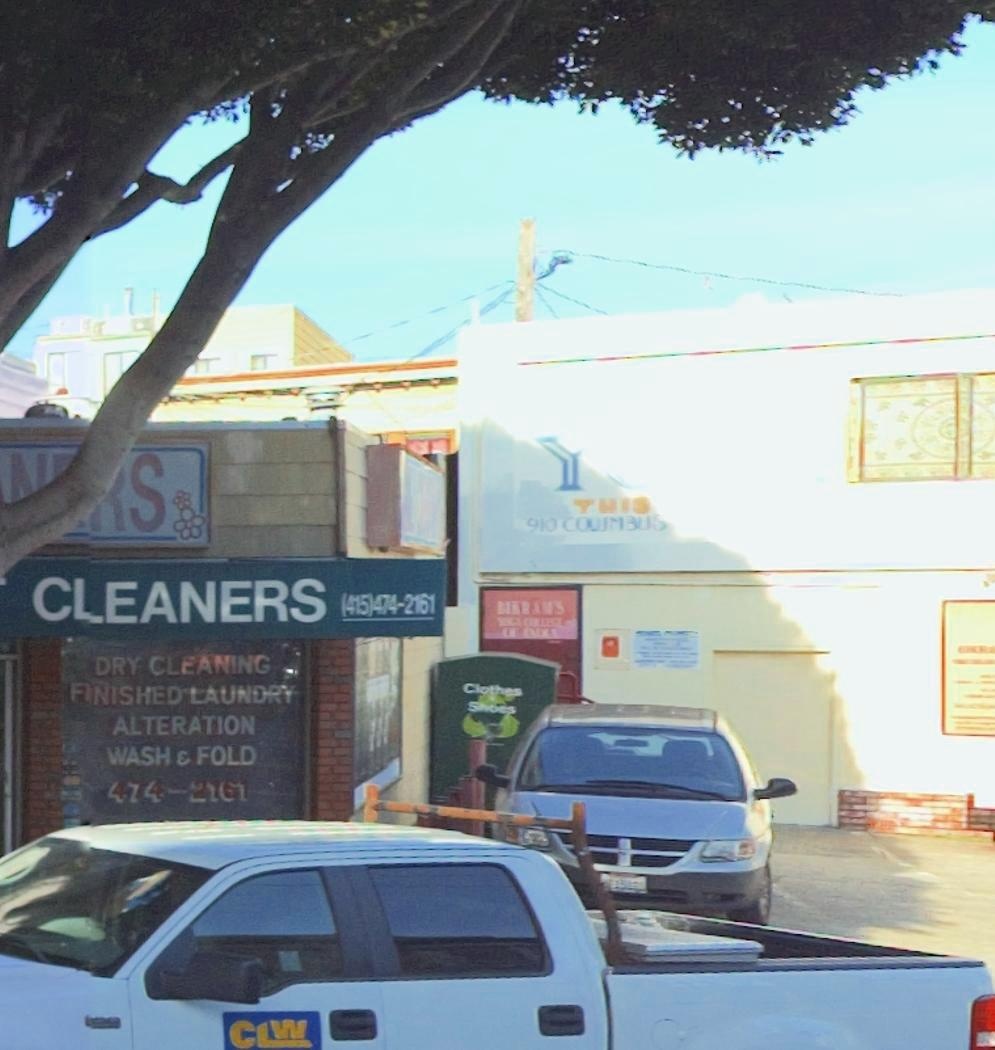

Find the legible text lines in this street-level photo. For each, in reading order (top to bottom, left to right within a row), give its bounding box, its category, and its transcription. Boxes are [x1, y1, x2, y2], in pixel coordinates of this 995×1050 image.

[127, 450, 169, 534] None: S
[524, 514, 558, 537] StreetNumber: 910
[561, 511, 669, 535] StreetName: COLUMBUS
[30, 571, 328, 626] BusinessName: CLEANERS
[338, 589, 439, 621] None: (415)474-2161
[92, 650, 272, 678] None: DRY CLEANING
[69, 678, 295, 705] None: FINISHED LAUNDRY
[462, 680, 525, 698] None: Clothes
[464, 700, 518, 716] None: Shoes
[109, 710, 257, 737] None: ALTERATION
[103, 741, 258, 768] None: WASH & FOLD
[107, 775, 250, 805] None: 474-2761
[226, 1017, 312, 1049] None: CLW